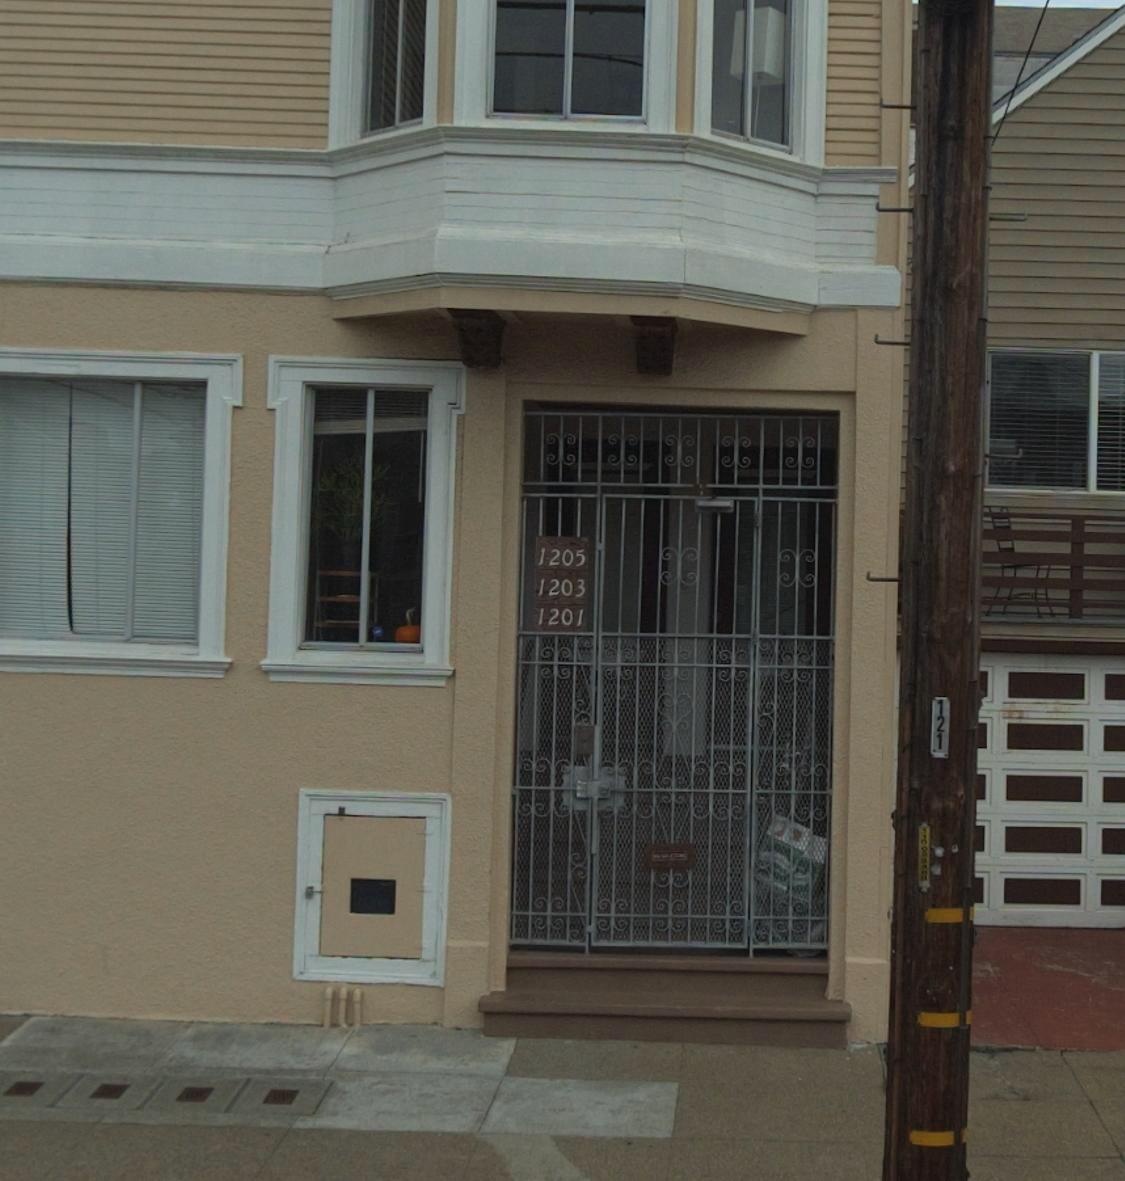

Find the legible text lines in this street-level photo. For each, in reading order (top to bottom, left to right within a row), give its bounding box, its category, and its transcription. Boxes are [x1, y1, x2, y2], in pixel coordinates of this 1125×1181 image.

[536, 547, 587, 567] StreetNumber: 1205
[537, 577, 586, 598] StreetNumber: 1203
[537, 607, 583, 627] StreetNumber: 1201
[935, 698, 946, 751] None: 121
[919, 826, 928, 883] None: 110*4**